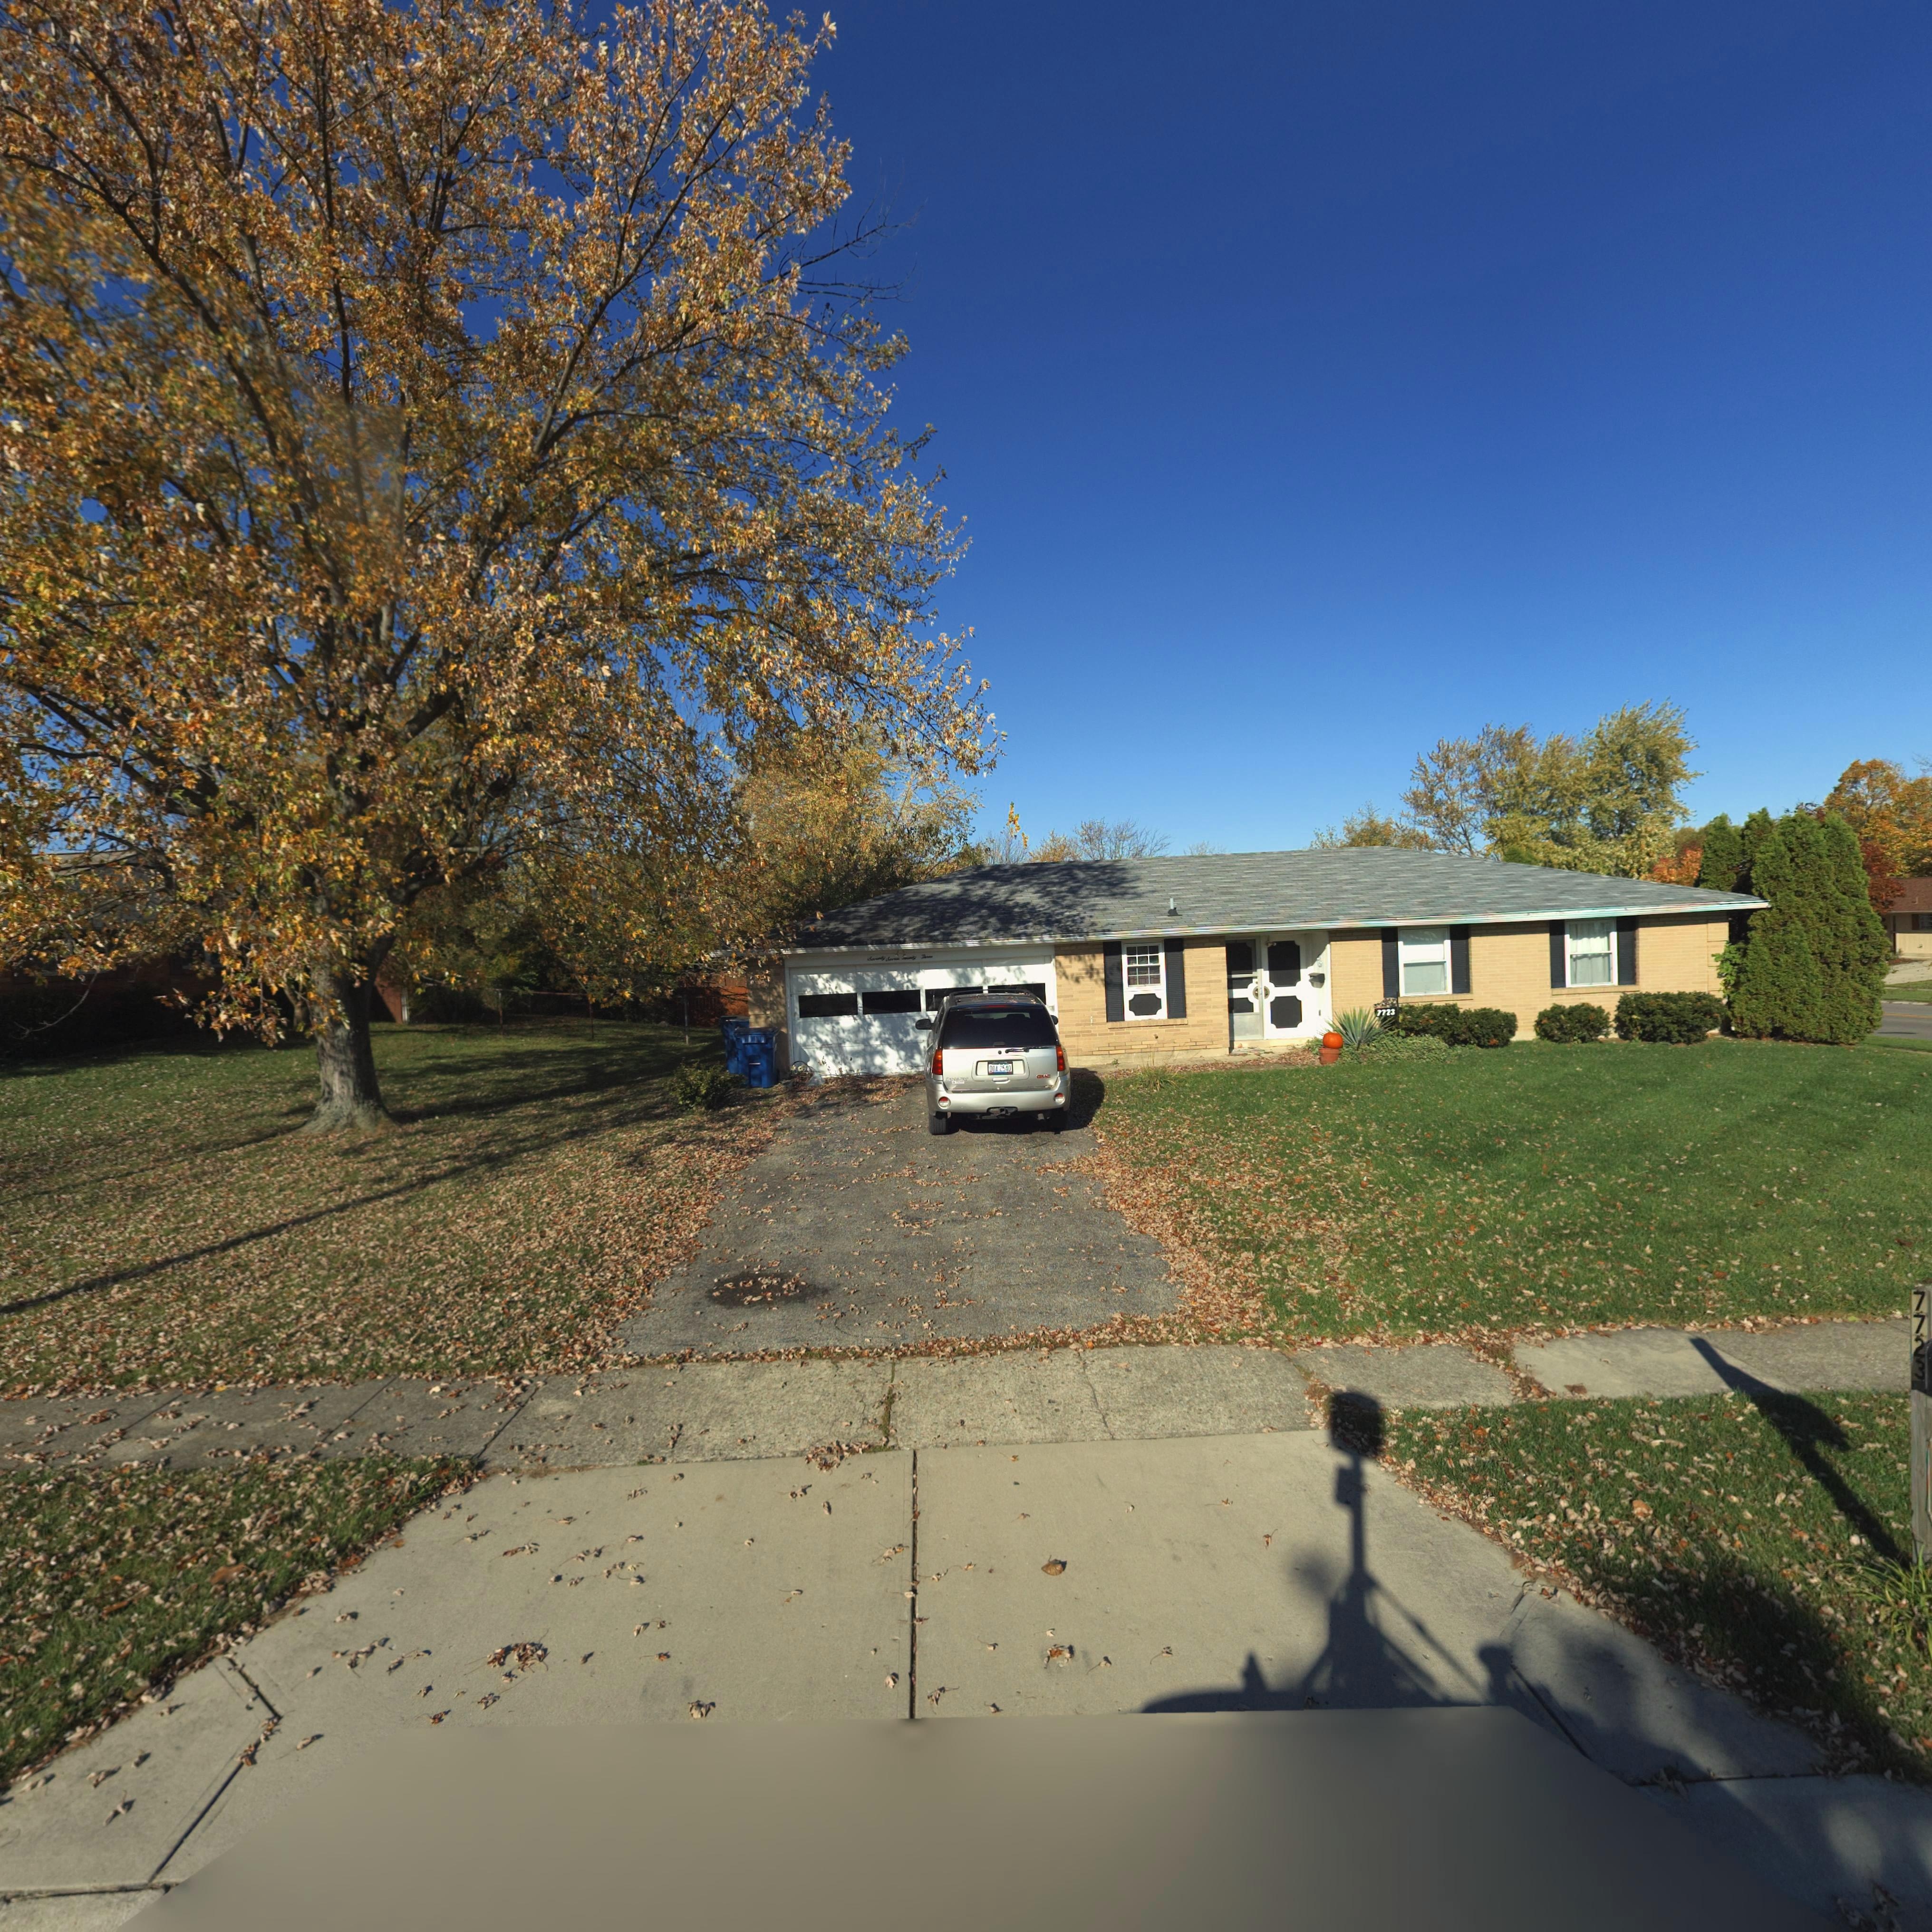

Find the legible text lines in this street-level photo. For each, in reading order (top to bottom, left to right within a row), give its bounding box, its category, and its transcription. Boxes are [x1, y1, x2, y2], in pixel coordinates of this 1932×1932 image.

[1376, 1007, 1396, 1017] StreetNumber: 7723
[1912, 1289, 1927, 1381] StreetNumber: 7723